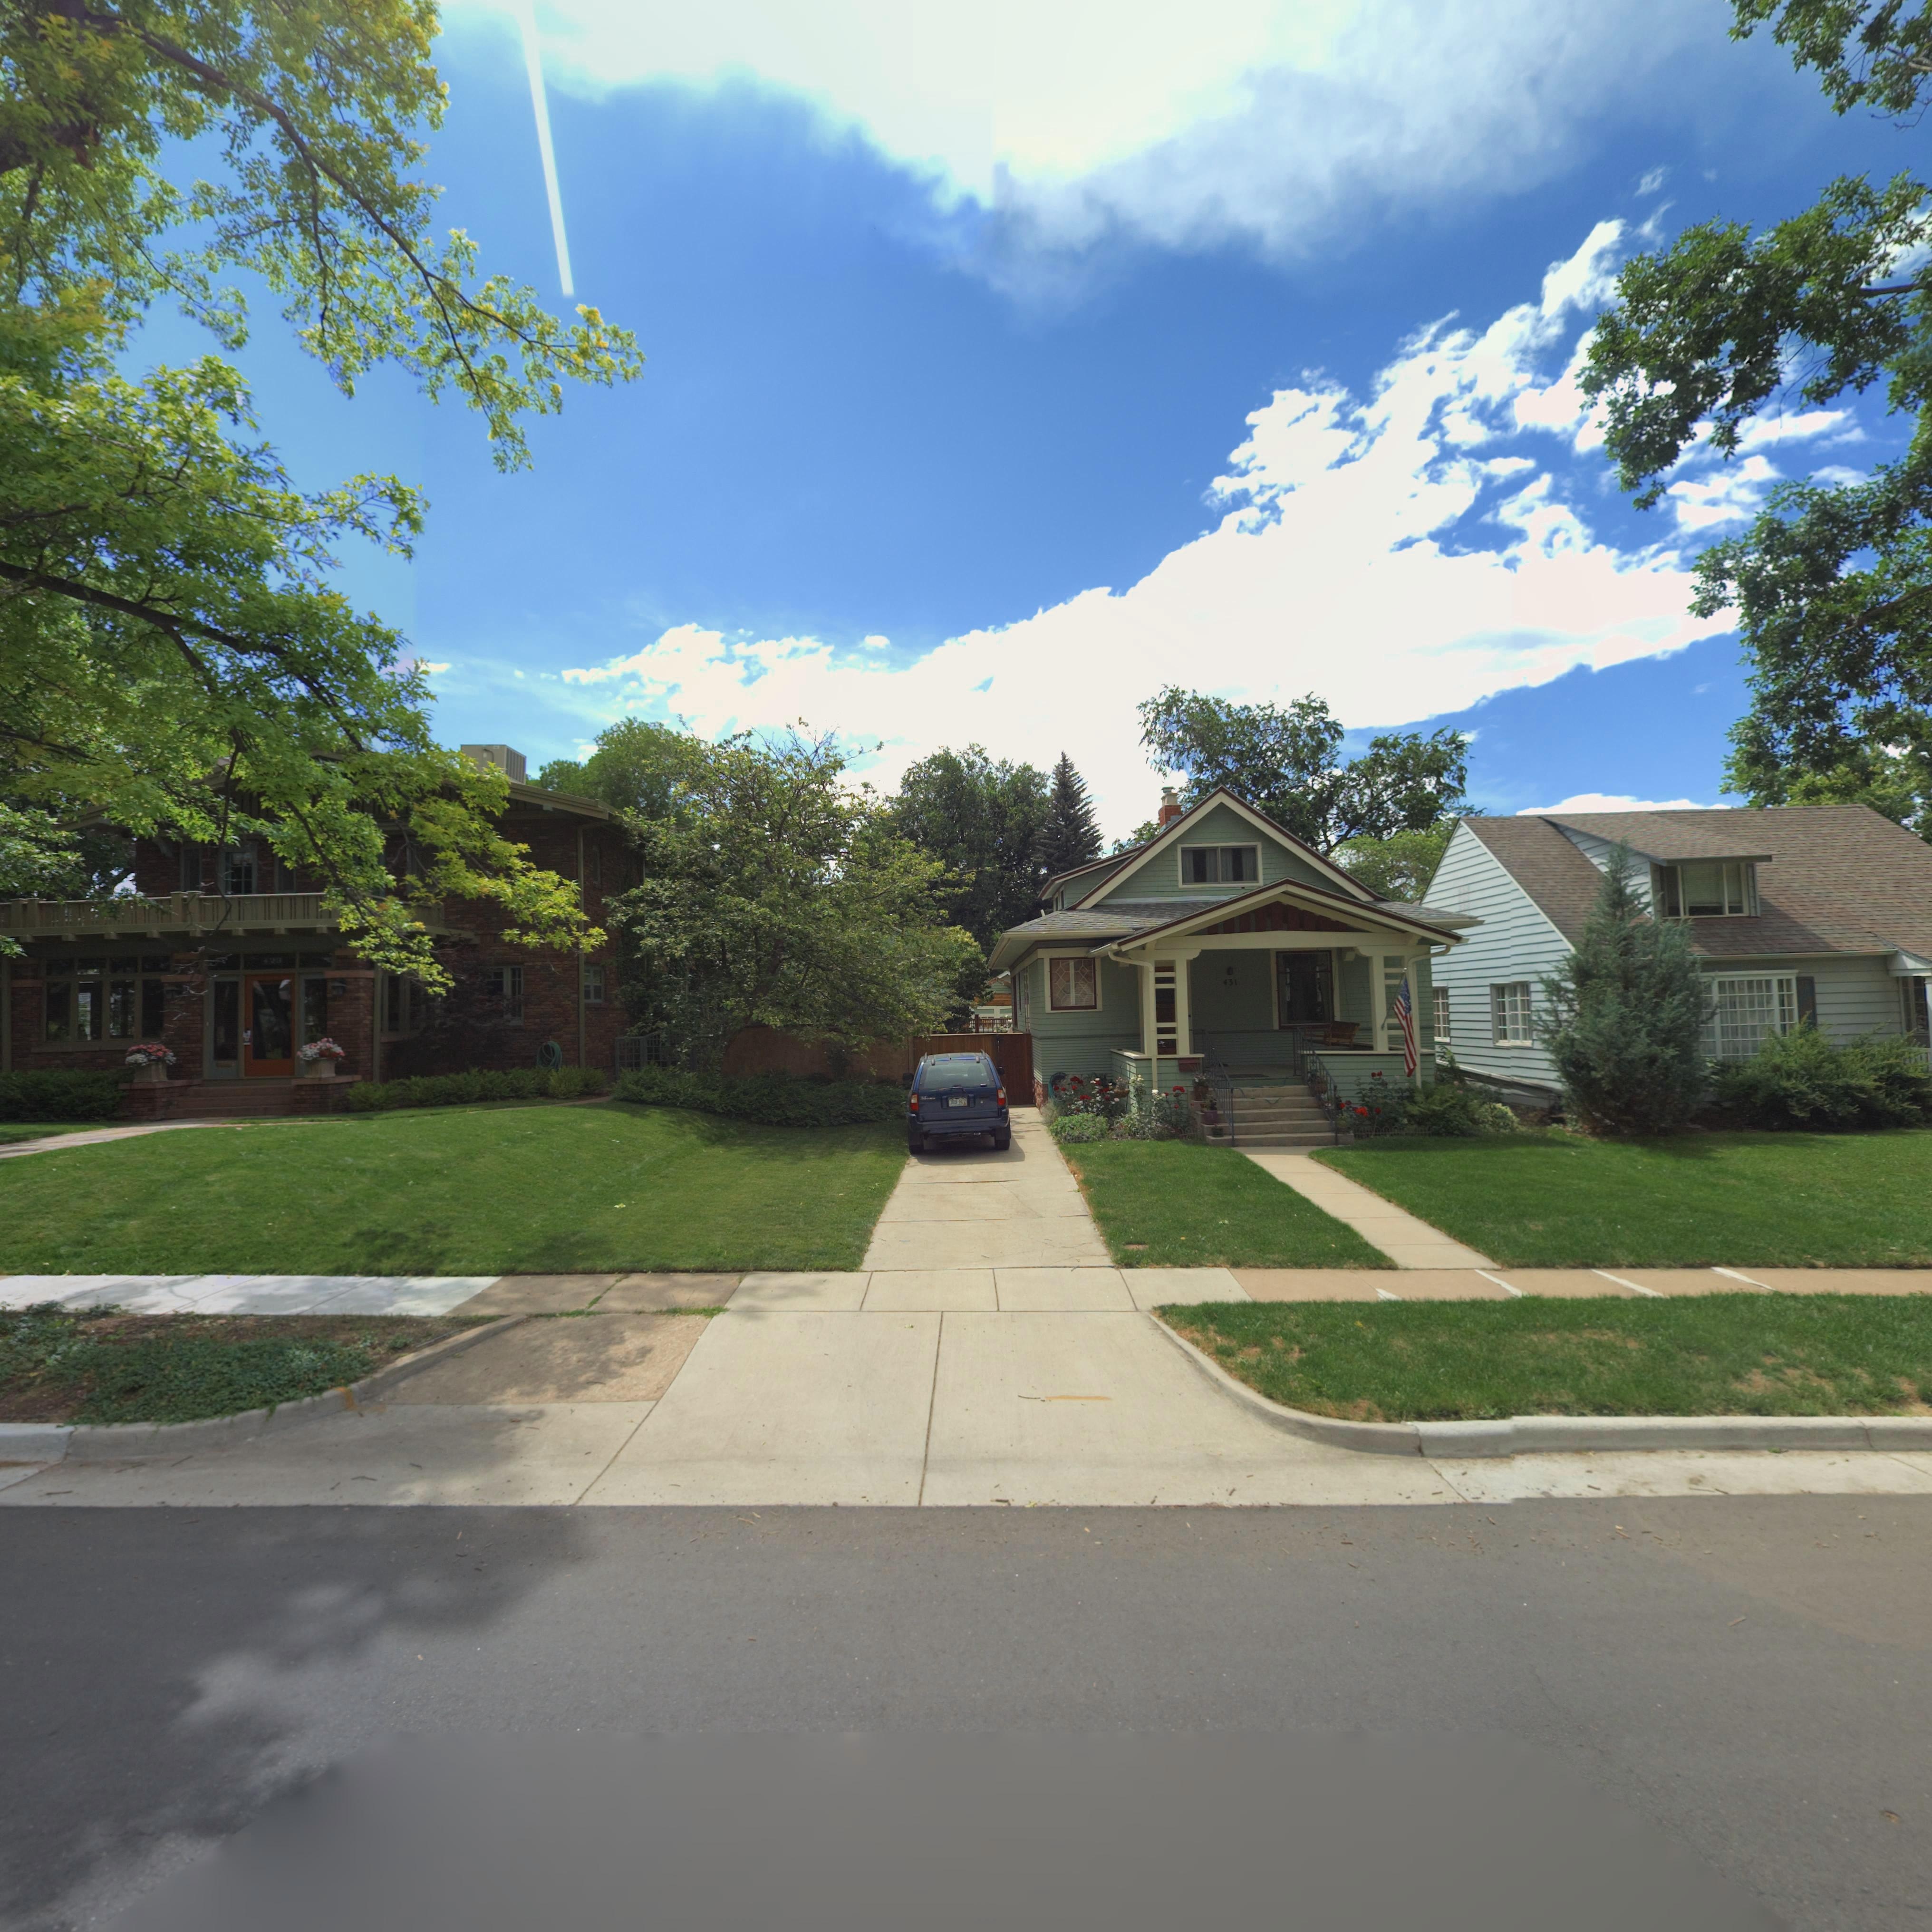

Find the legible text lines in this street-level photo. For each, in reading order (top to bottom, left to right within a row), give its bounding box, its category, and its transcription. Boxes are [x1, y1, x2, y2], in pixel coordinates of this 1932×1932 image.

[262, 956, 282, 965] StreetNumber: 423
[1222, 978, 1238, 986] StreetNumber: 431